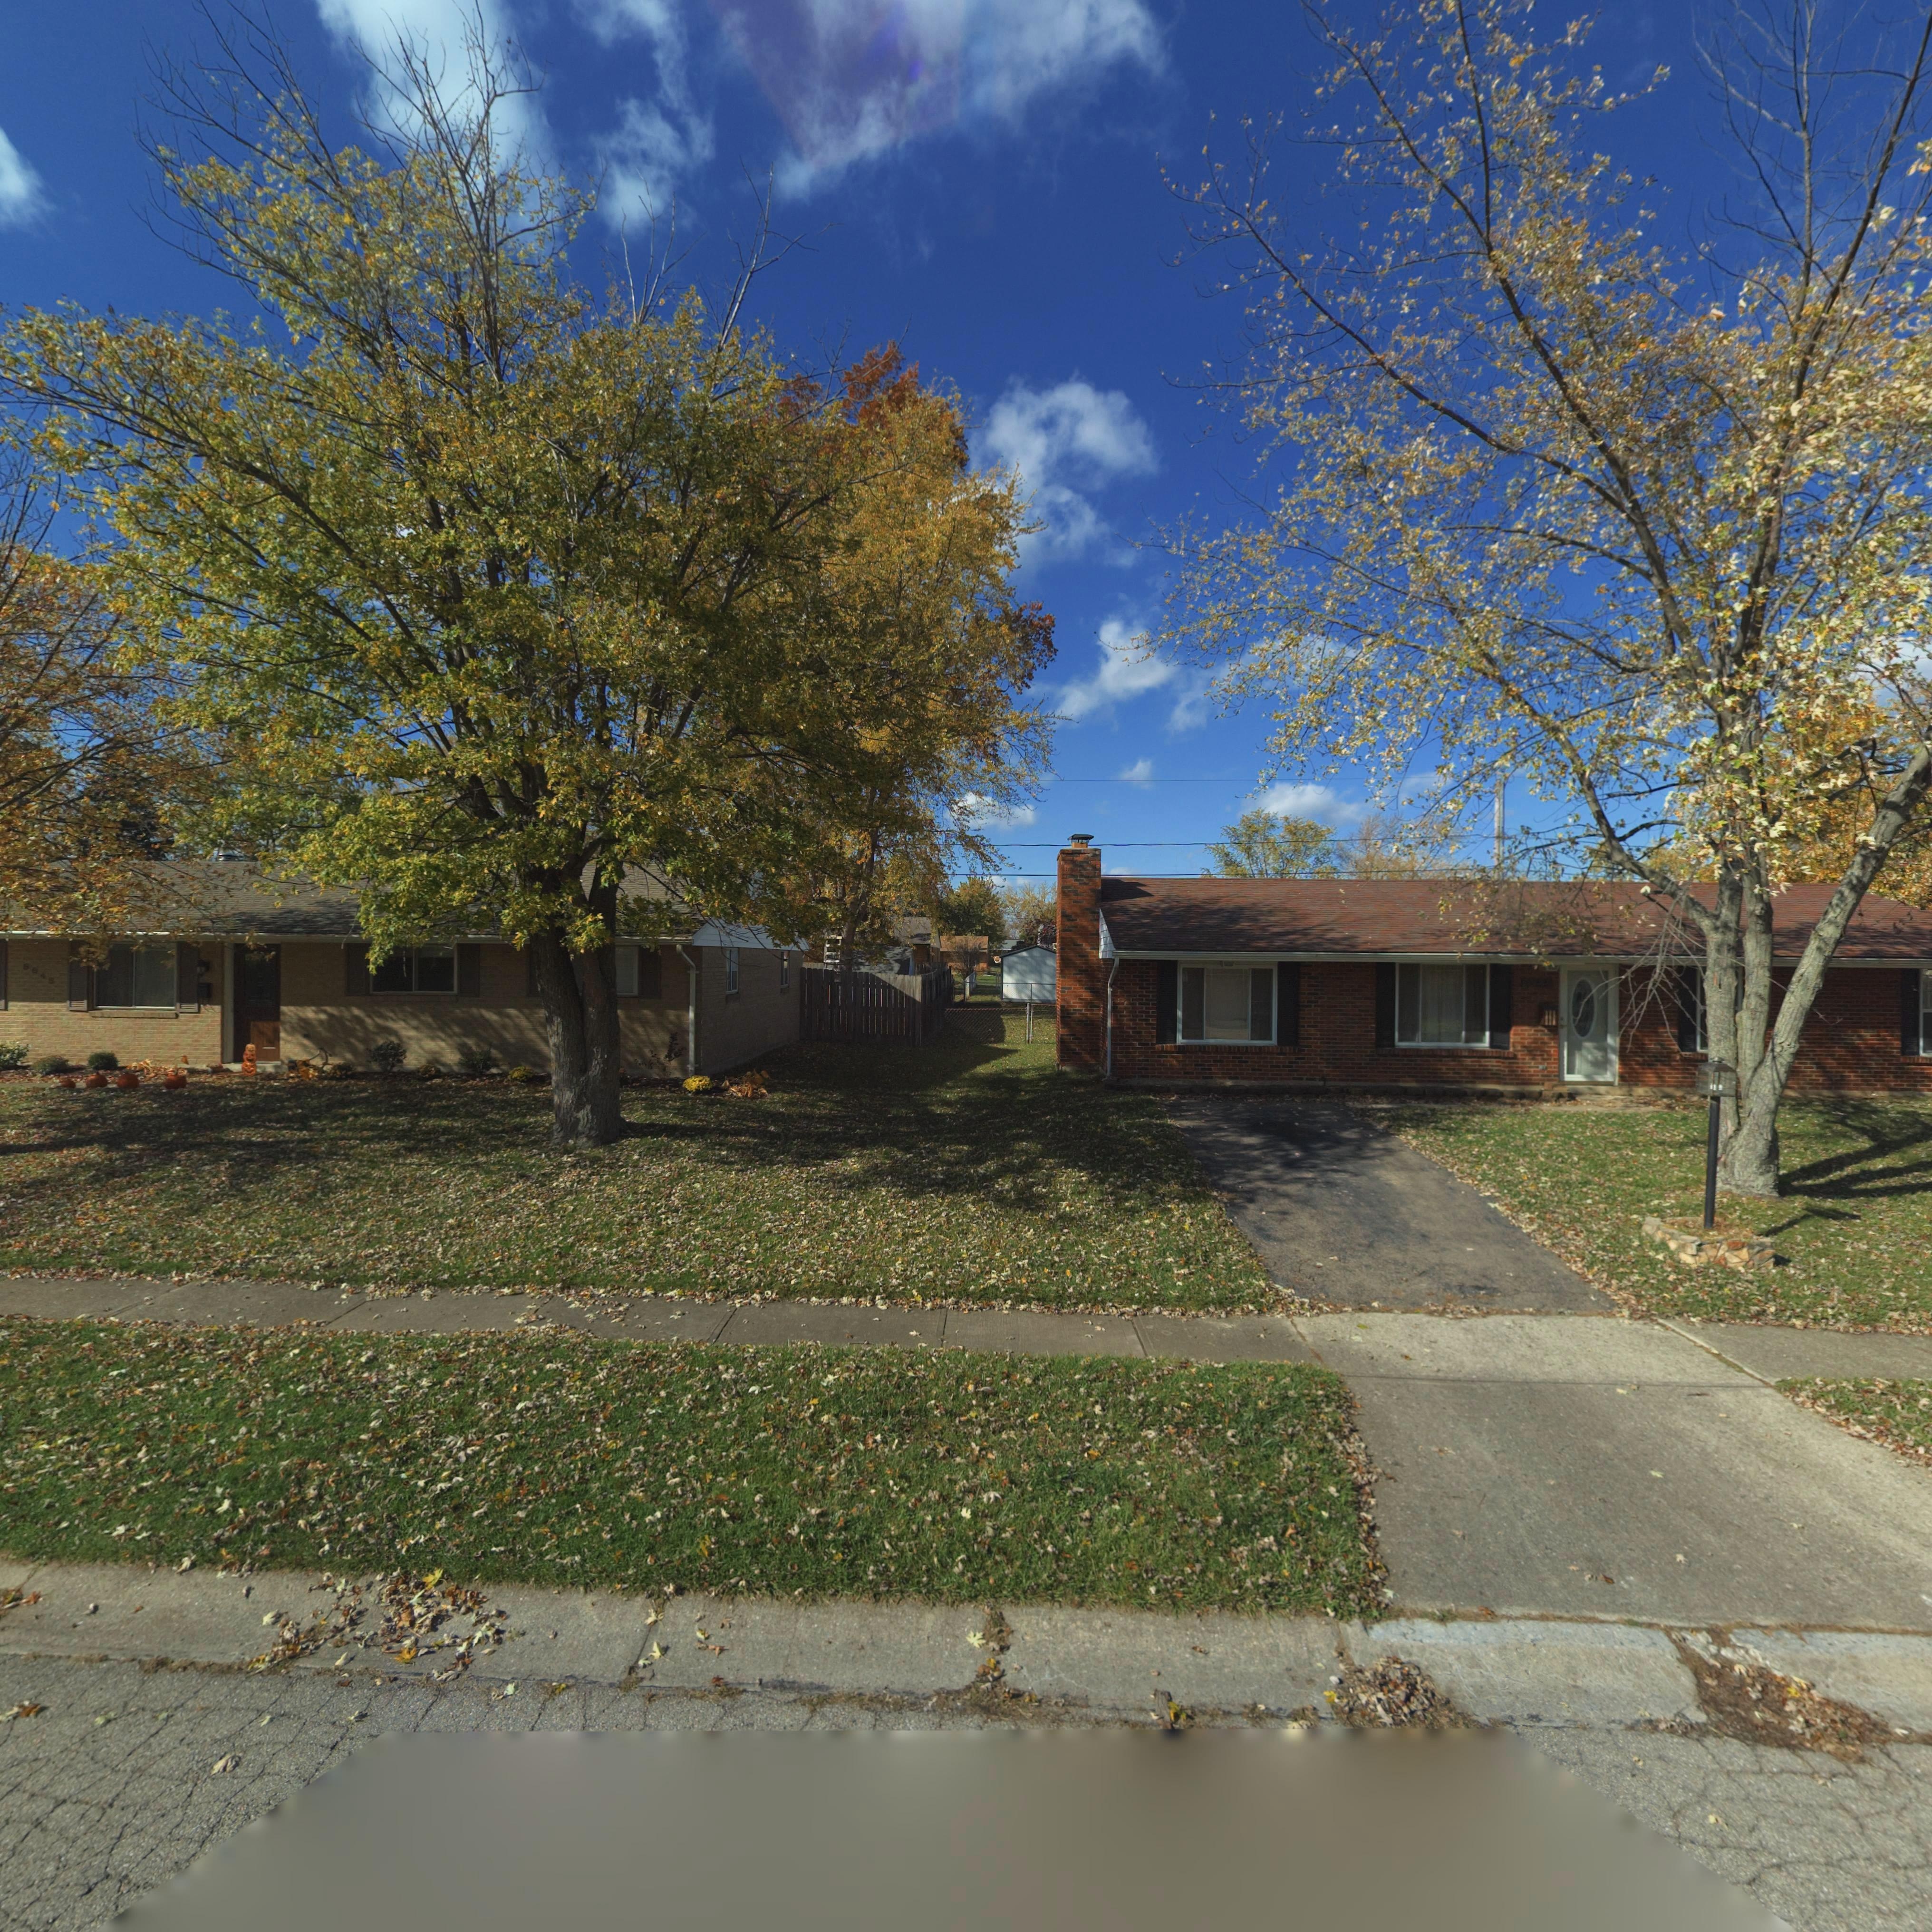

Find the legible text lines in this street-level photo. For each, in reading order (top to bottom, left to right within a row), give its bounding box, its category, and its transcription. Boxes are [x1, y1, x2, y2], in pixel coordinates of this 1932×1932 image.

[20, 961, 56, 986] StreetNumber: 6*45